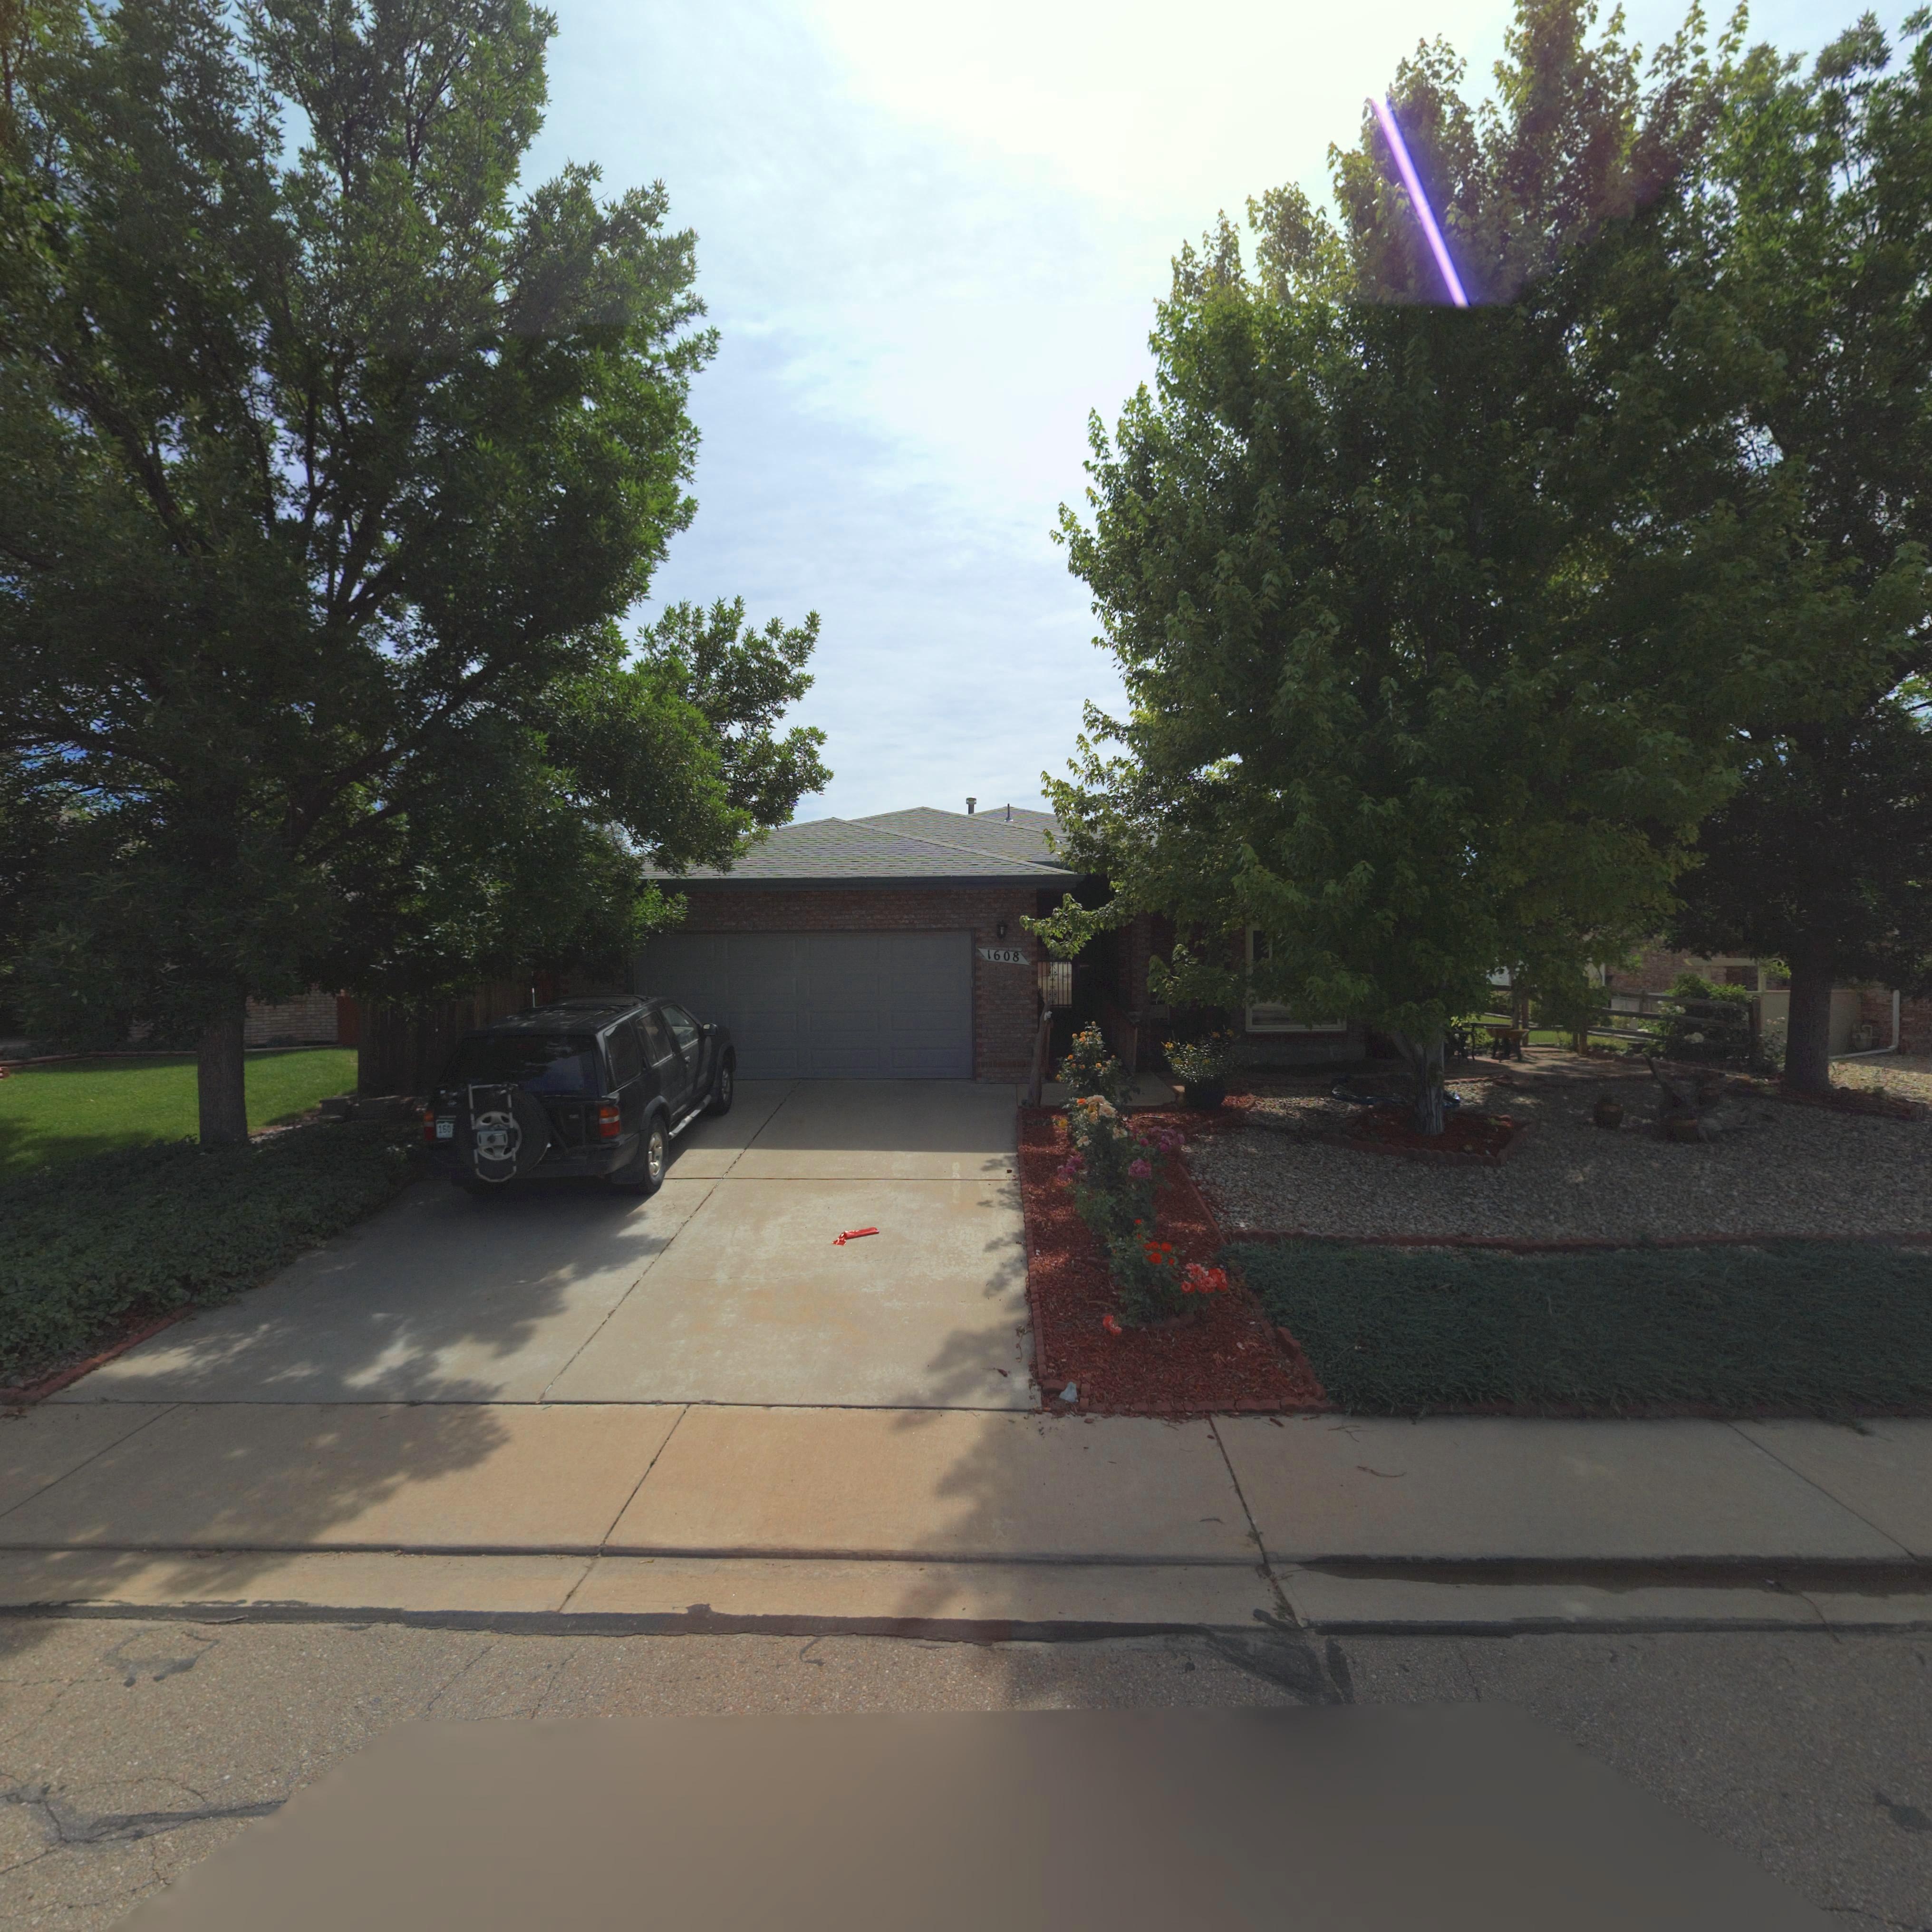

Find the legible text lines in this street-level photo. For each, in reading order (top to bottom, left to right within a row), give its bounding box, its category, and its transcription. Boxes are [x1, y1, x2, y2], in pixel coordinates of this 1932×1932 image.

[987, 949, 1020, 962] StreetNumber: 1608